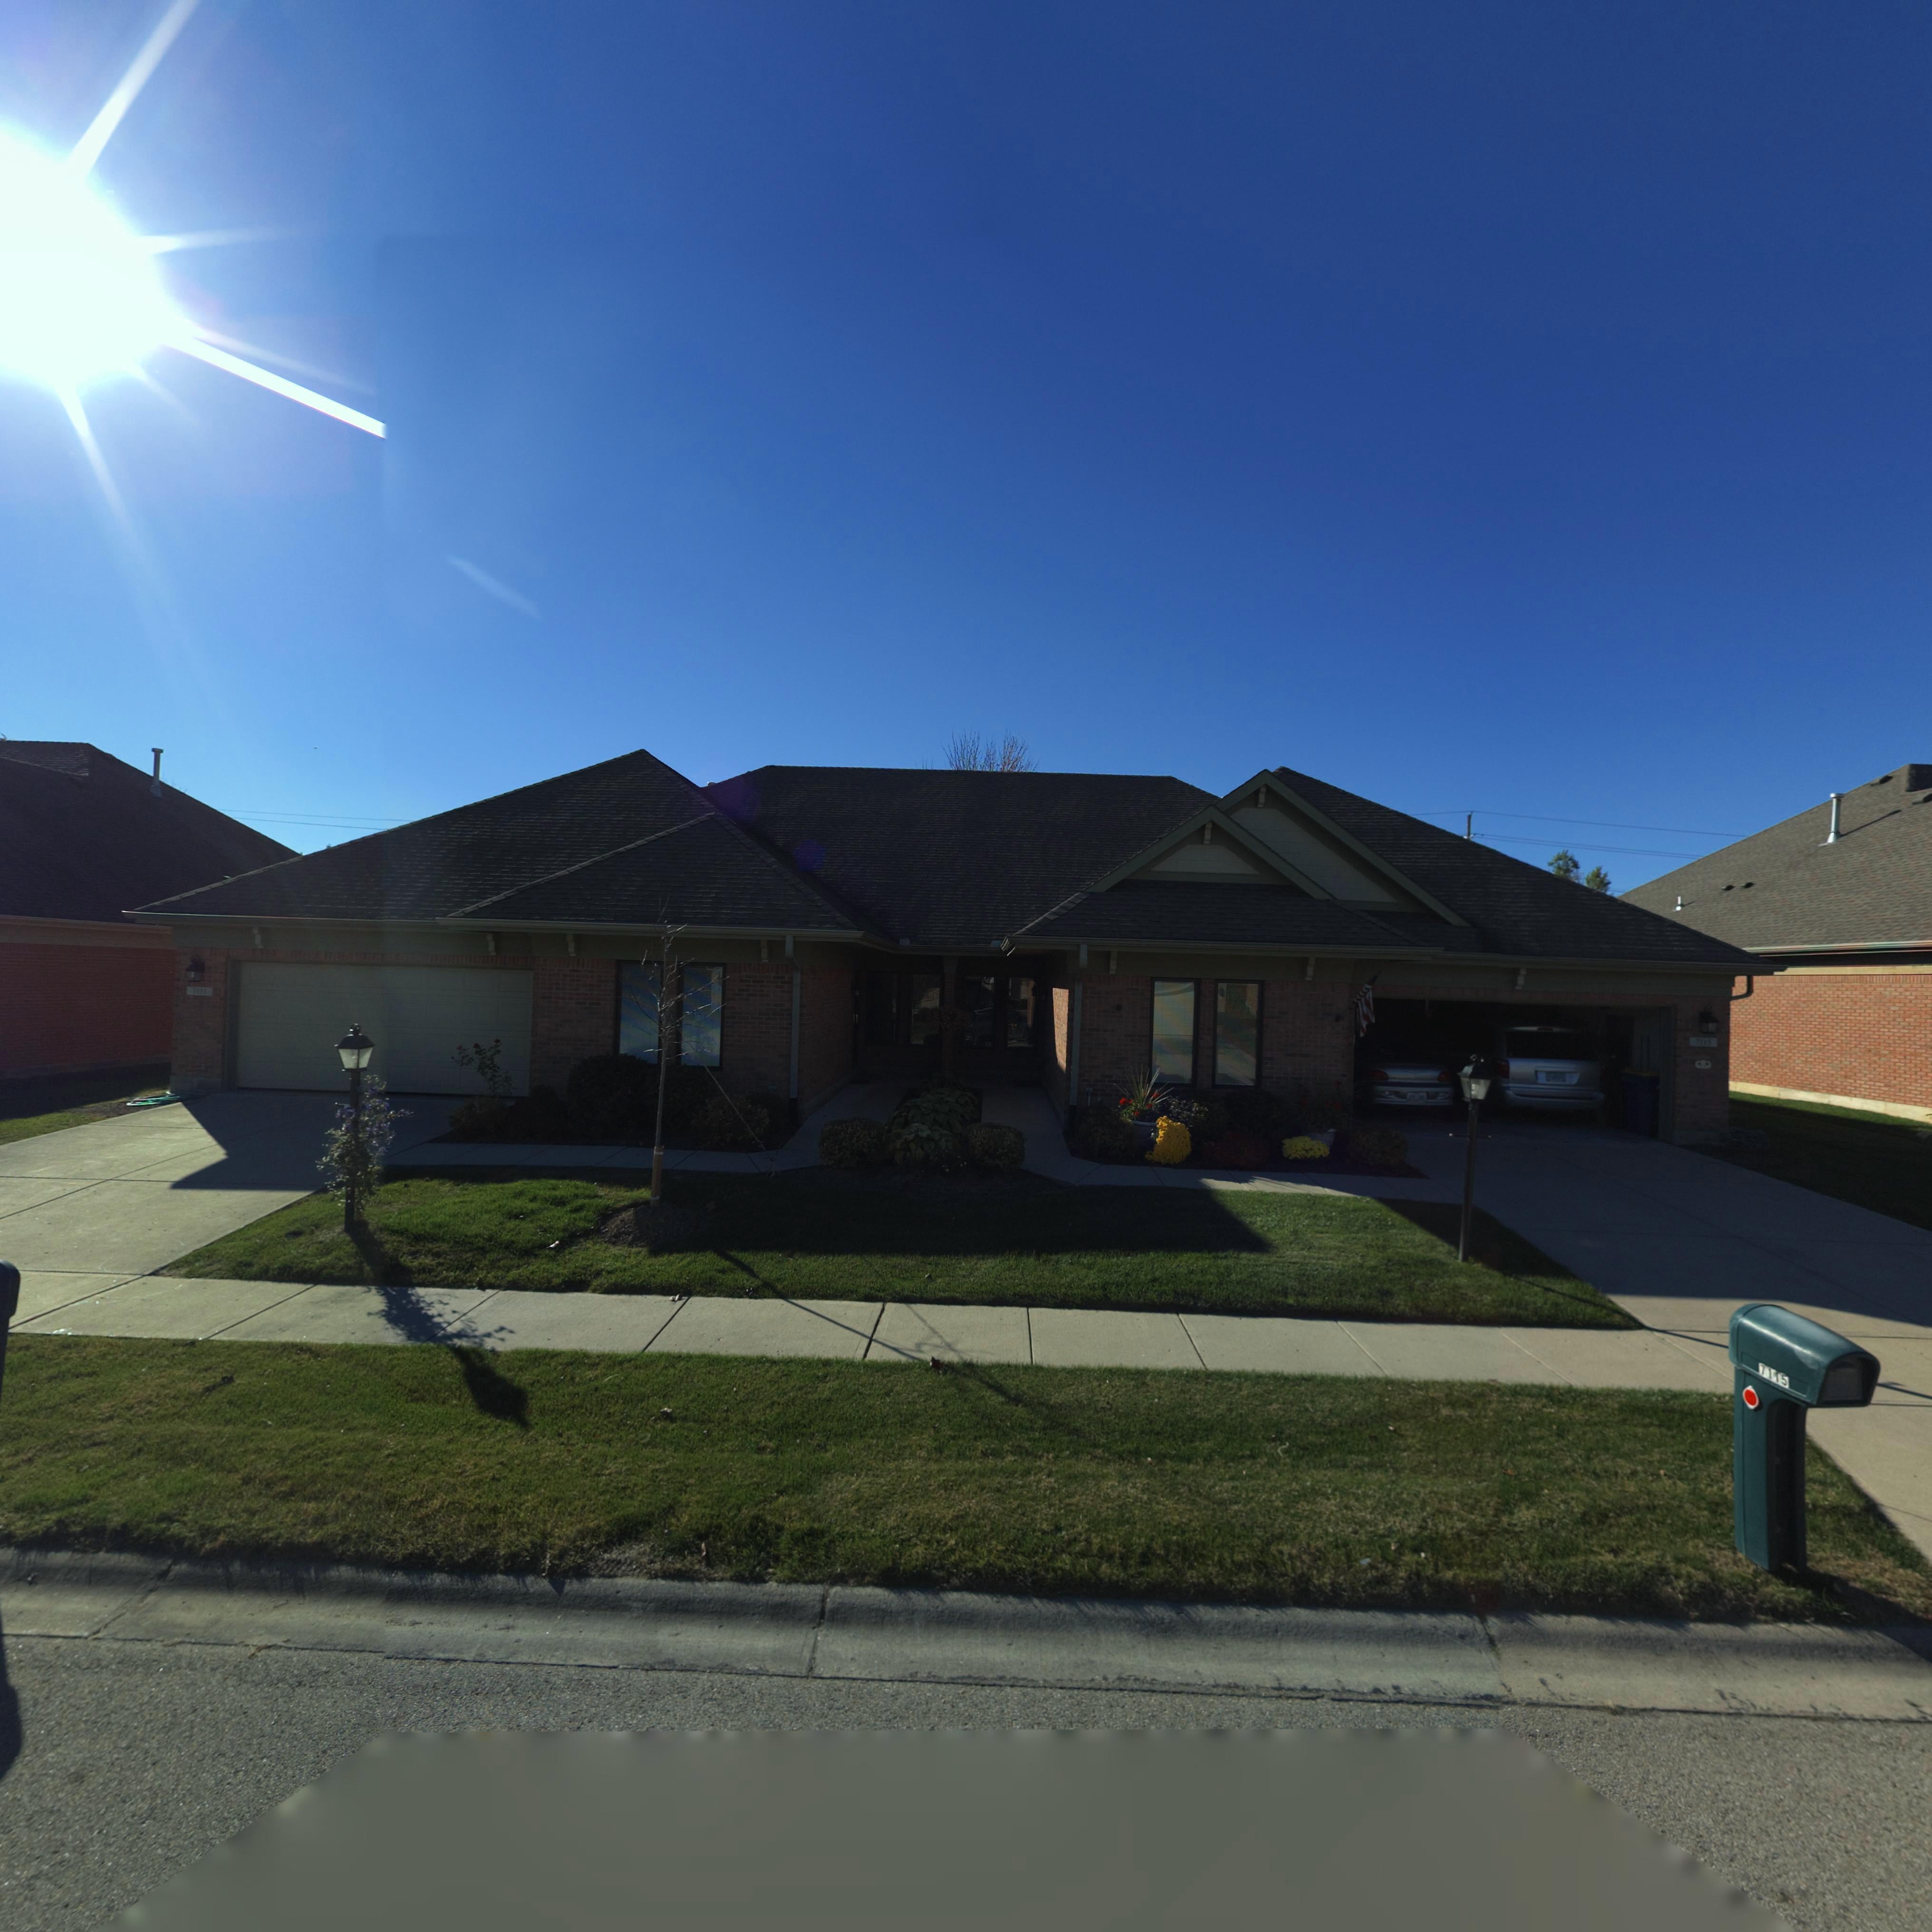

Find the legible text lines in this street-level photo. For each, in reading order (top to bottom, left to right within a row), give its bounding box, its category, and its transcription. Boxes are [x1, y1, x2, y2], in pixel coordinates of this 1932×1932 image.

[192, 987, 207, 995] StreetNumber: 7111
[1695, 1038, 1712, 1046] StreetNumber: 7115
[1759, 1362, 1789, 1388] StreetNumber: 7115